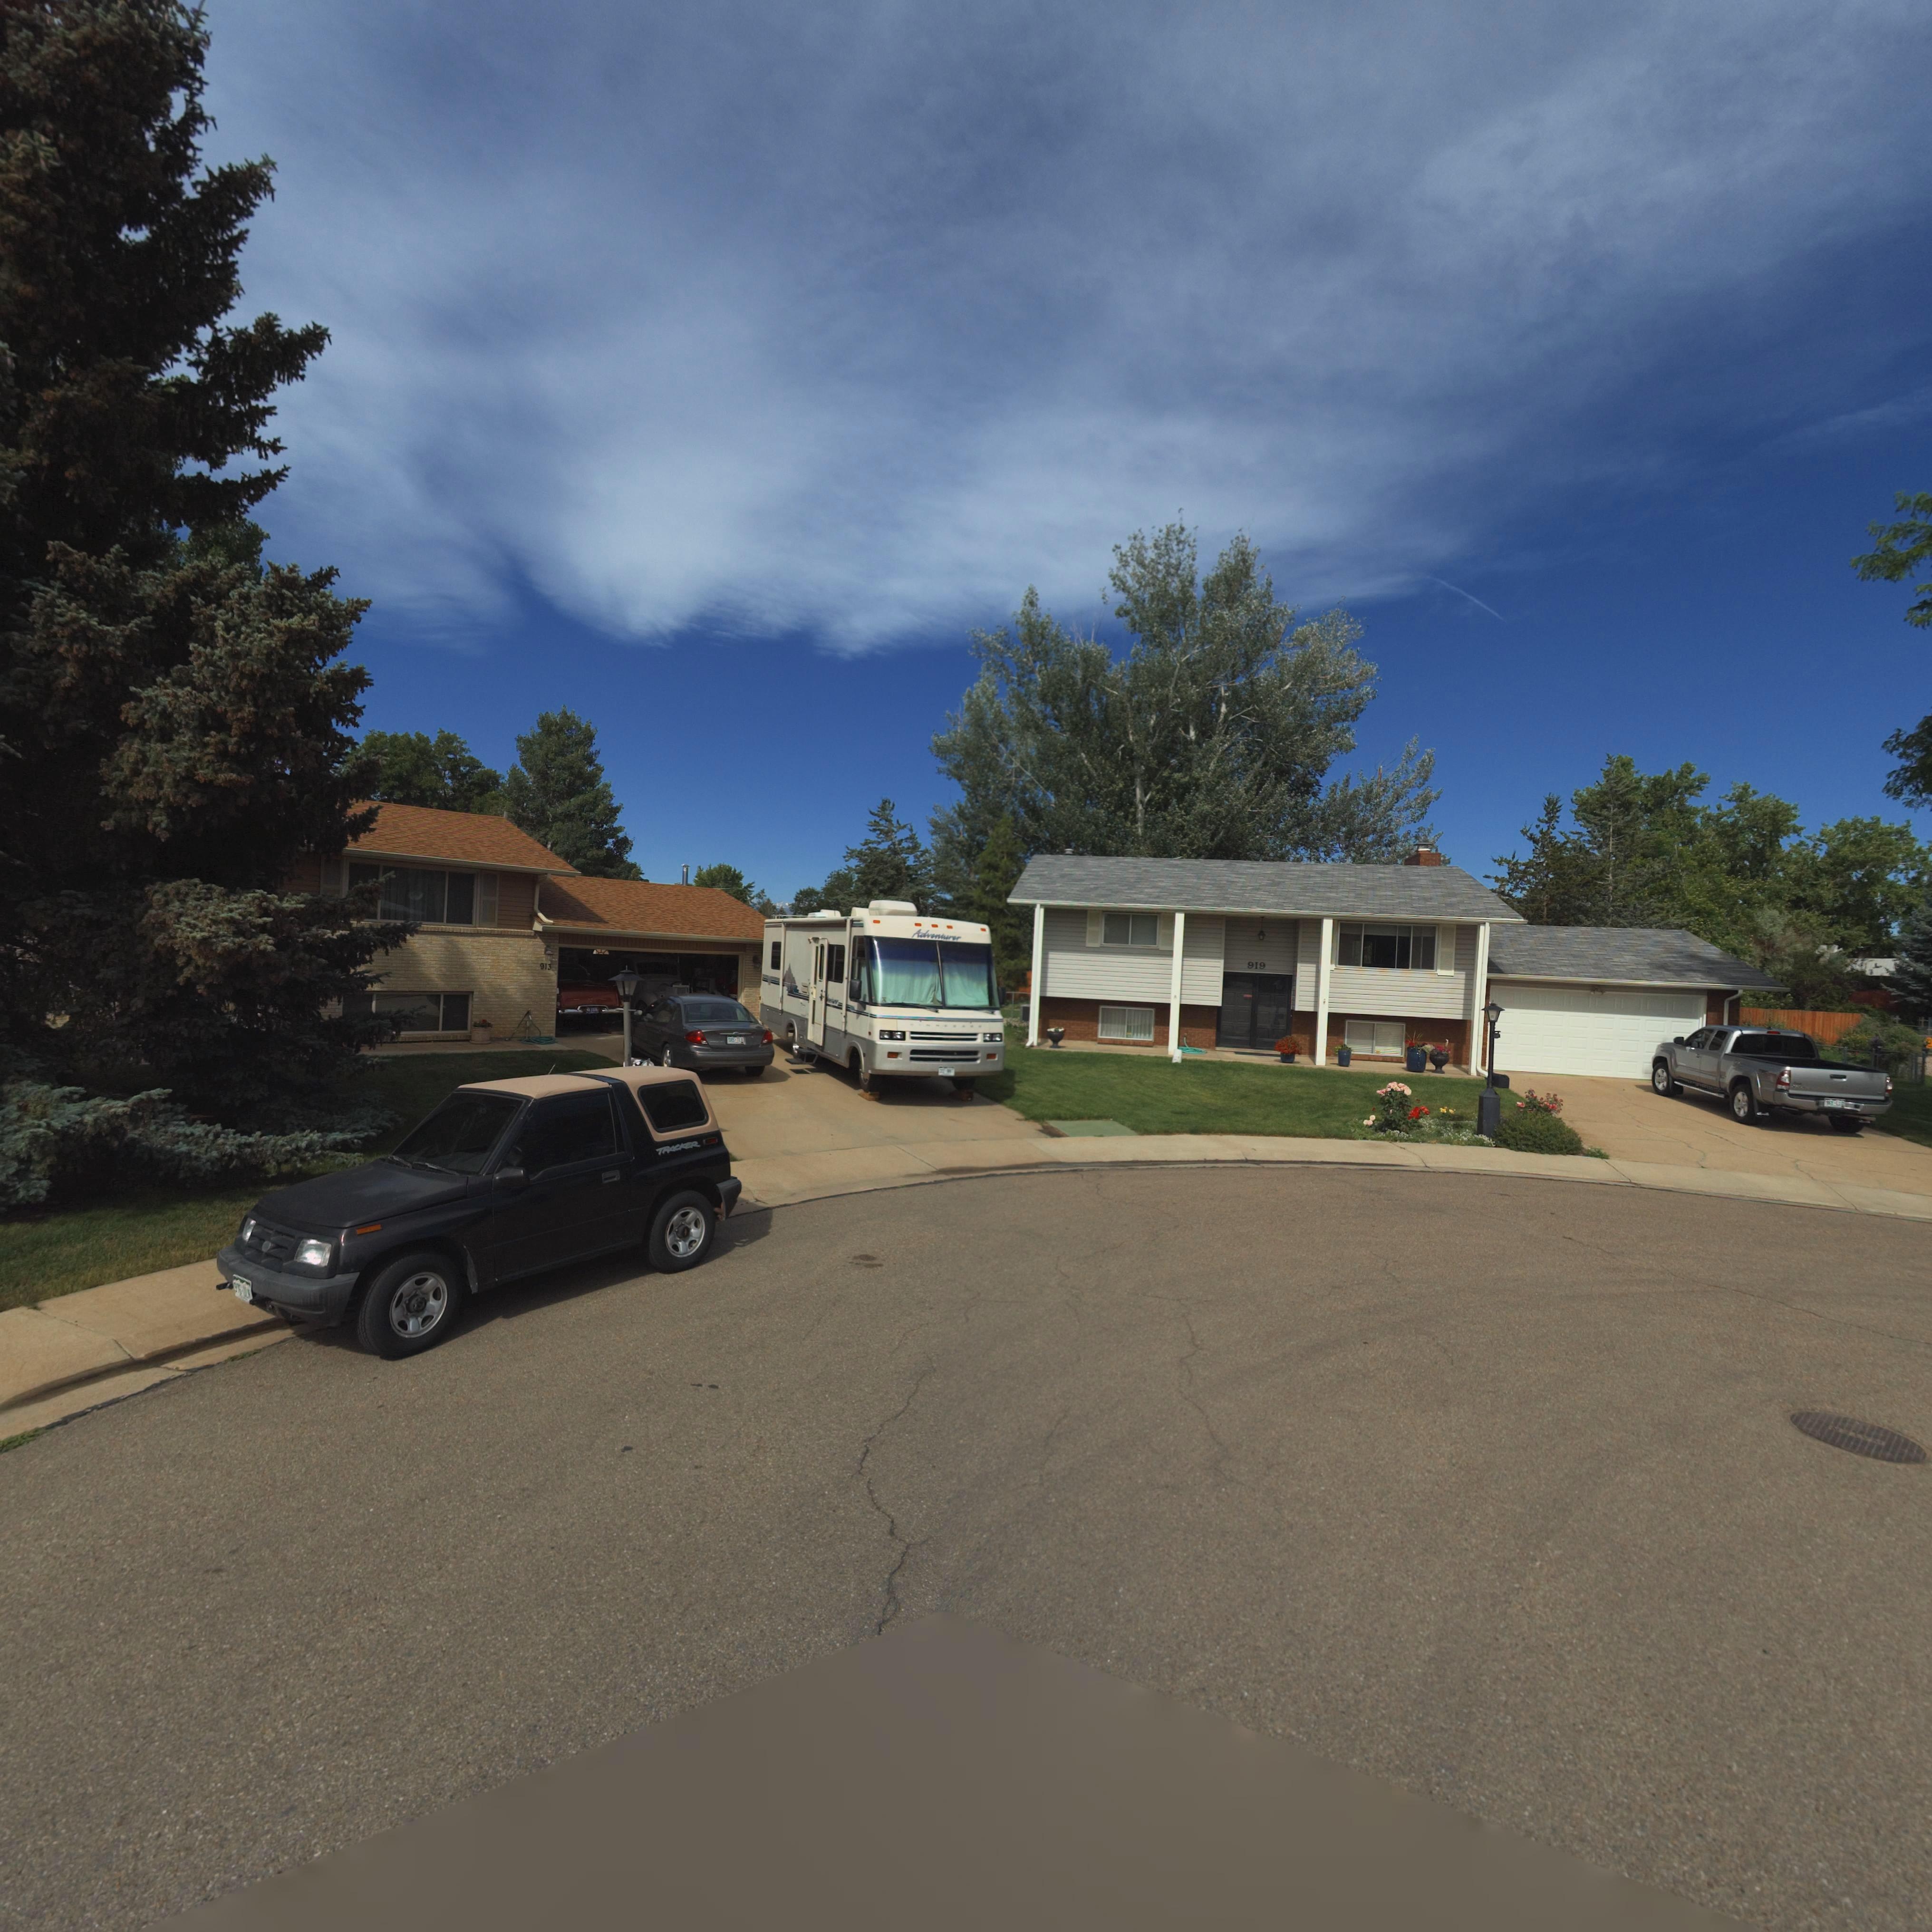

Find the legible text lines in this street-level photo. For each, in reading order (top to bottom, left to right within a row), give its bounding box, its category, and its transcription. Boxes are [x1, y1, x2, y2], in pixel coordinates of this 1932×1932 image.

[540, 963, 551, 970] StreetNumber: 913
[1247, 961, 1265, 969] StreetNumber: 919